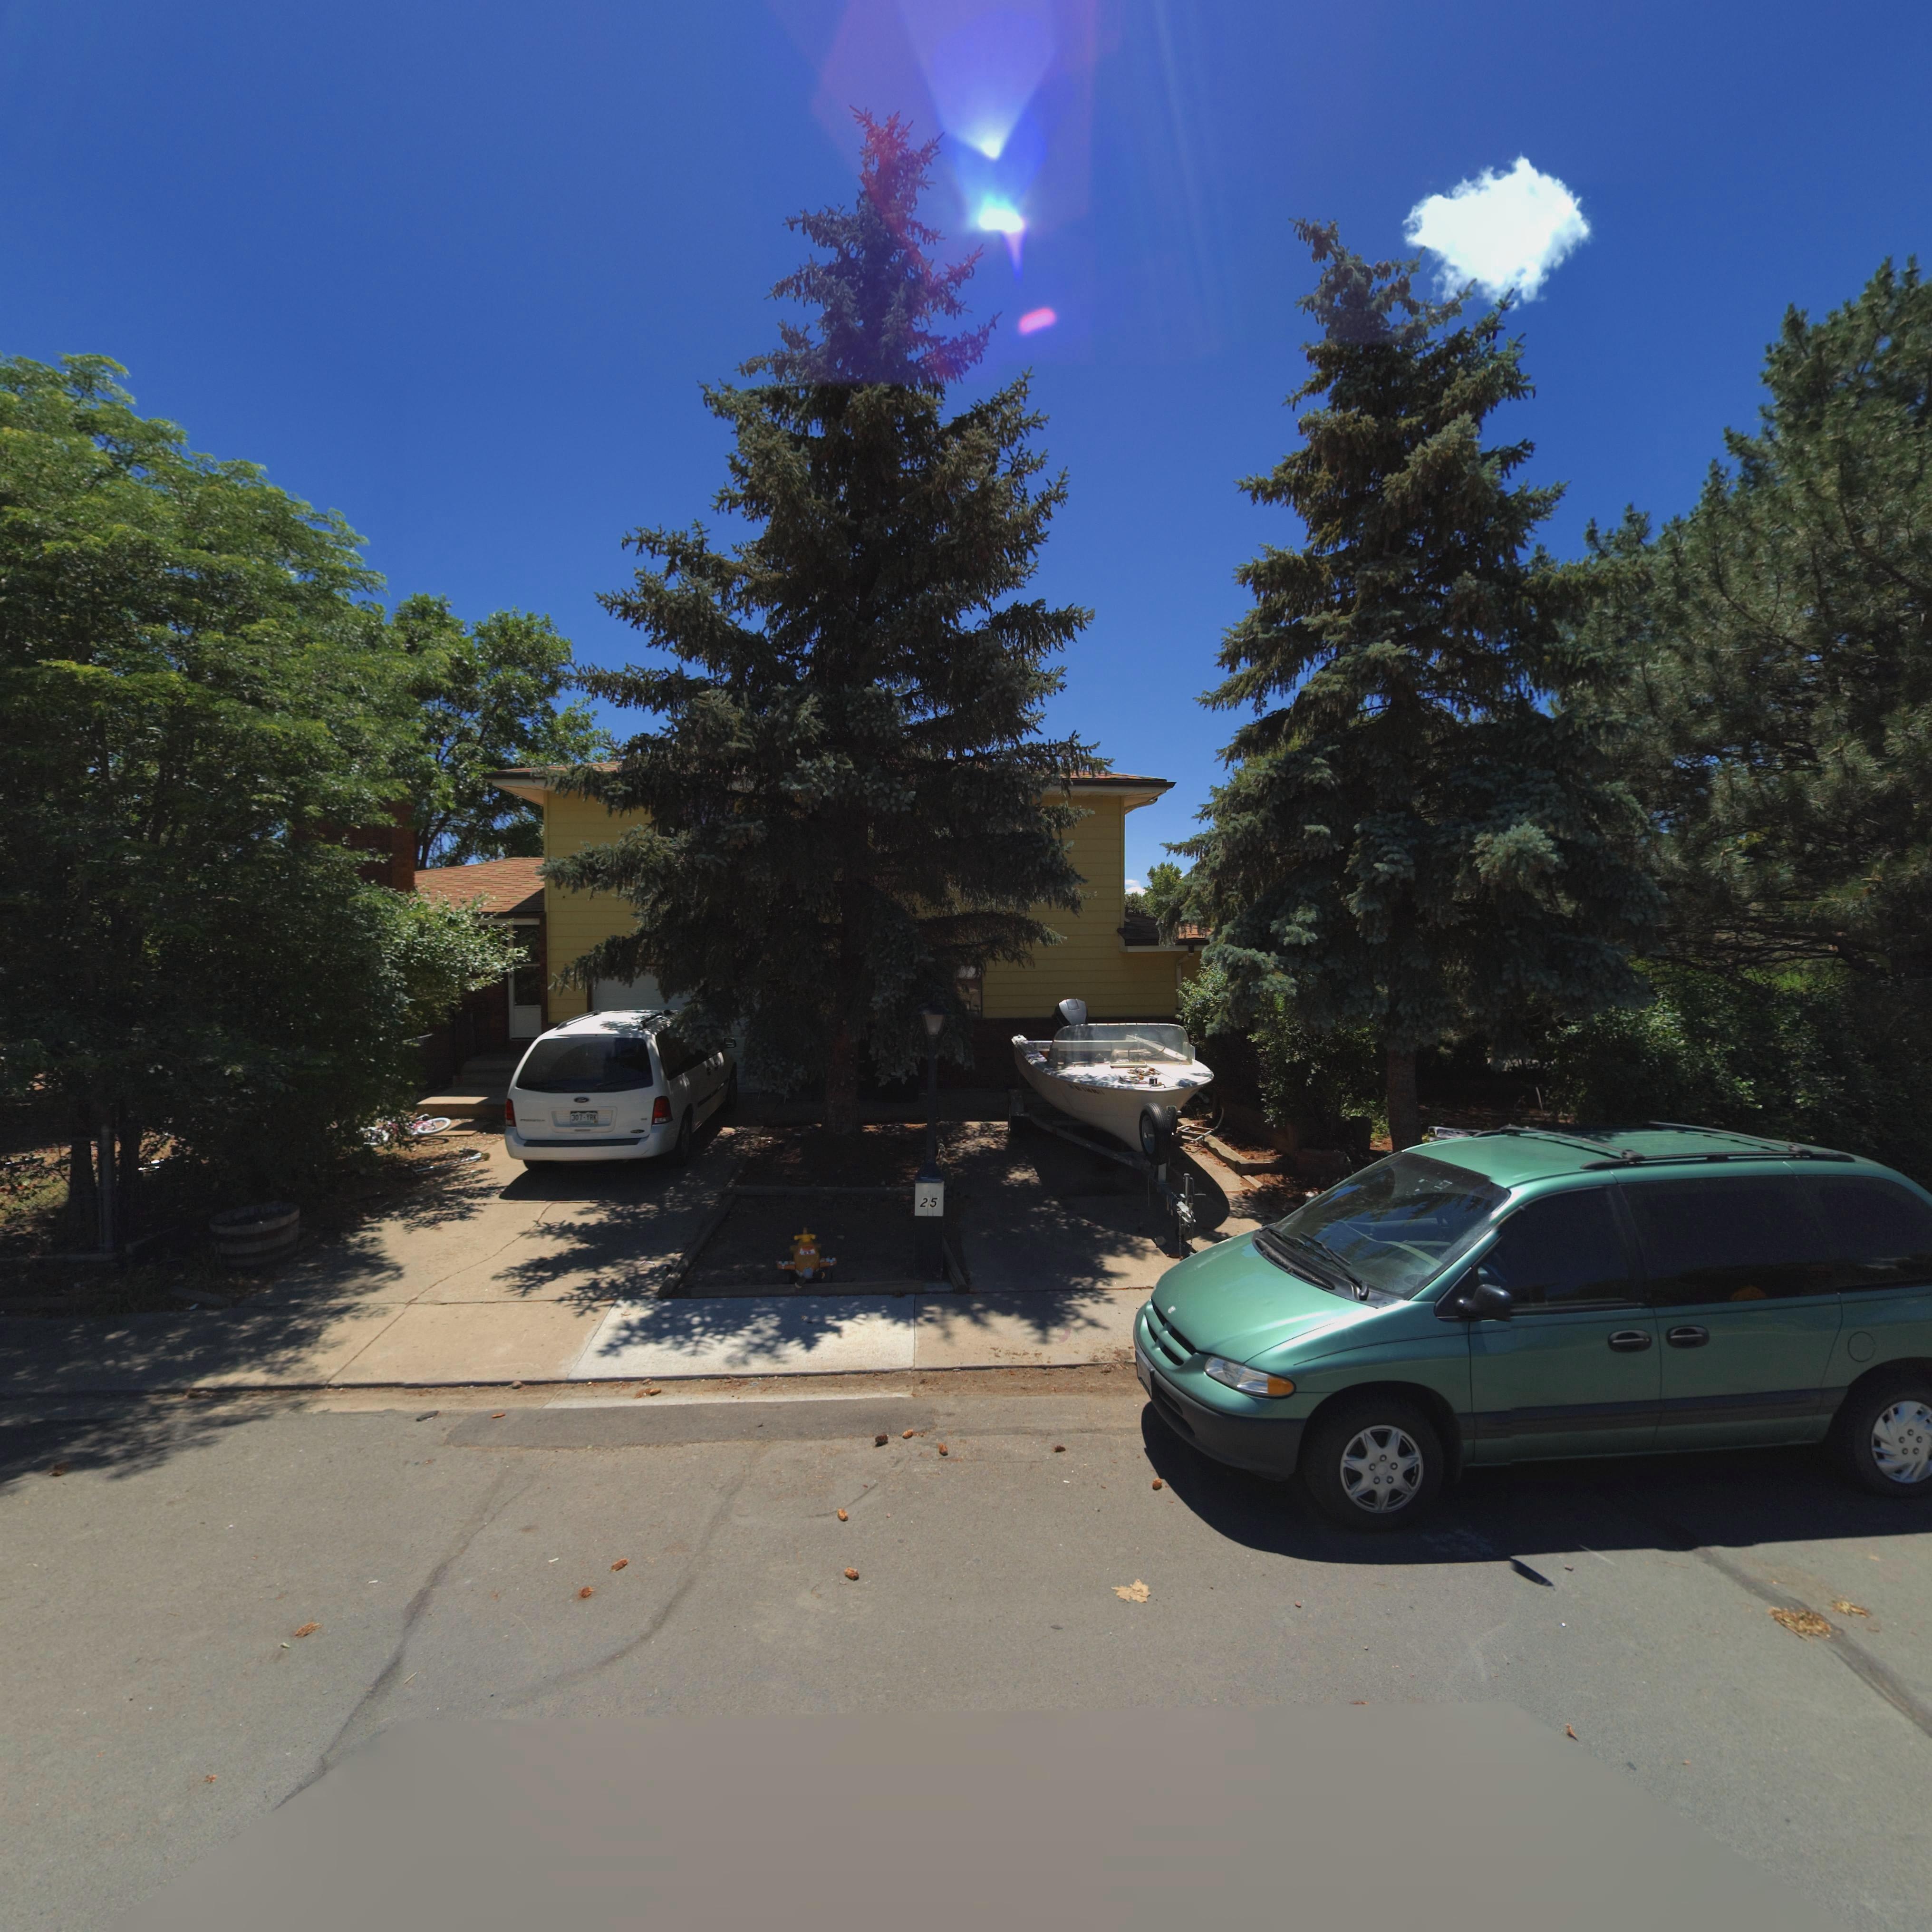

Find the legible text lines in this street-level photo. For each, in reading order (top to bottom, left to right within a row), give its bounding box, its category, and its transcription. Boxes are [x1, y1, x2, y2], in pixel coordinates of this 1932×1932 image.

[919, 1197, 938, 1207] StreetNumber: 25